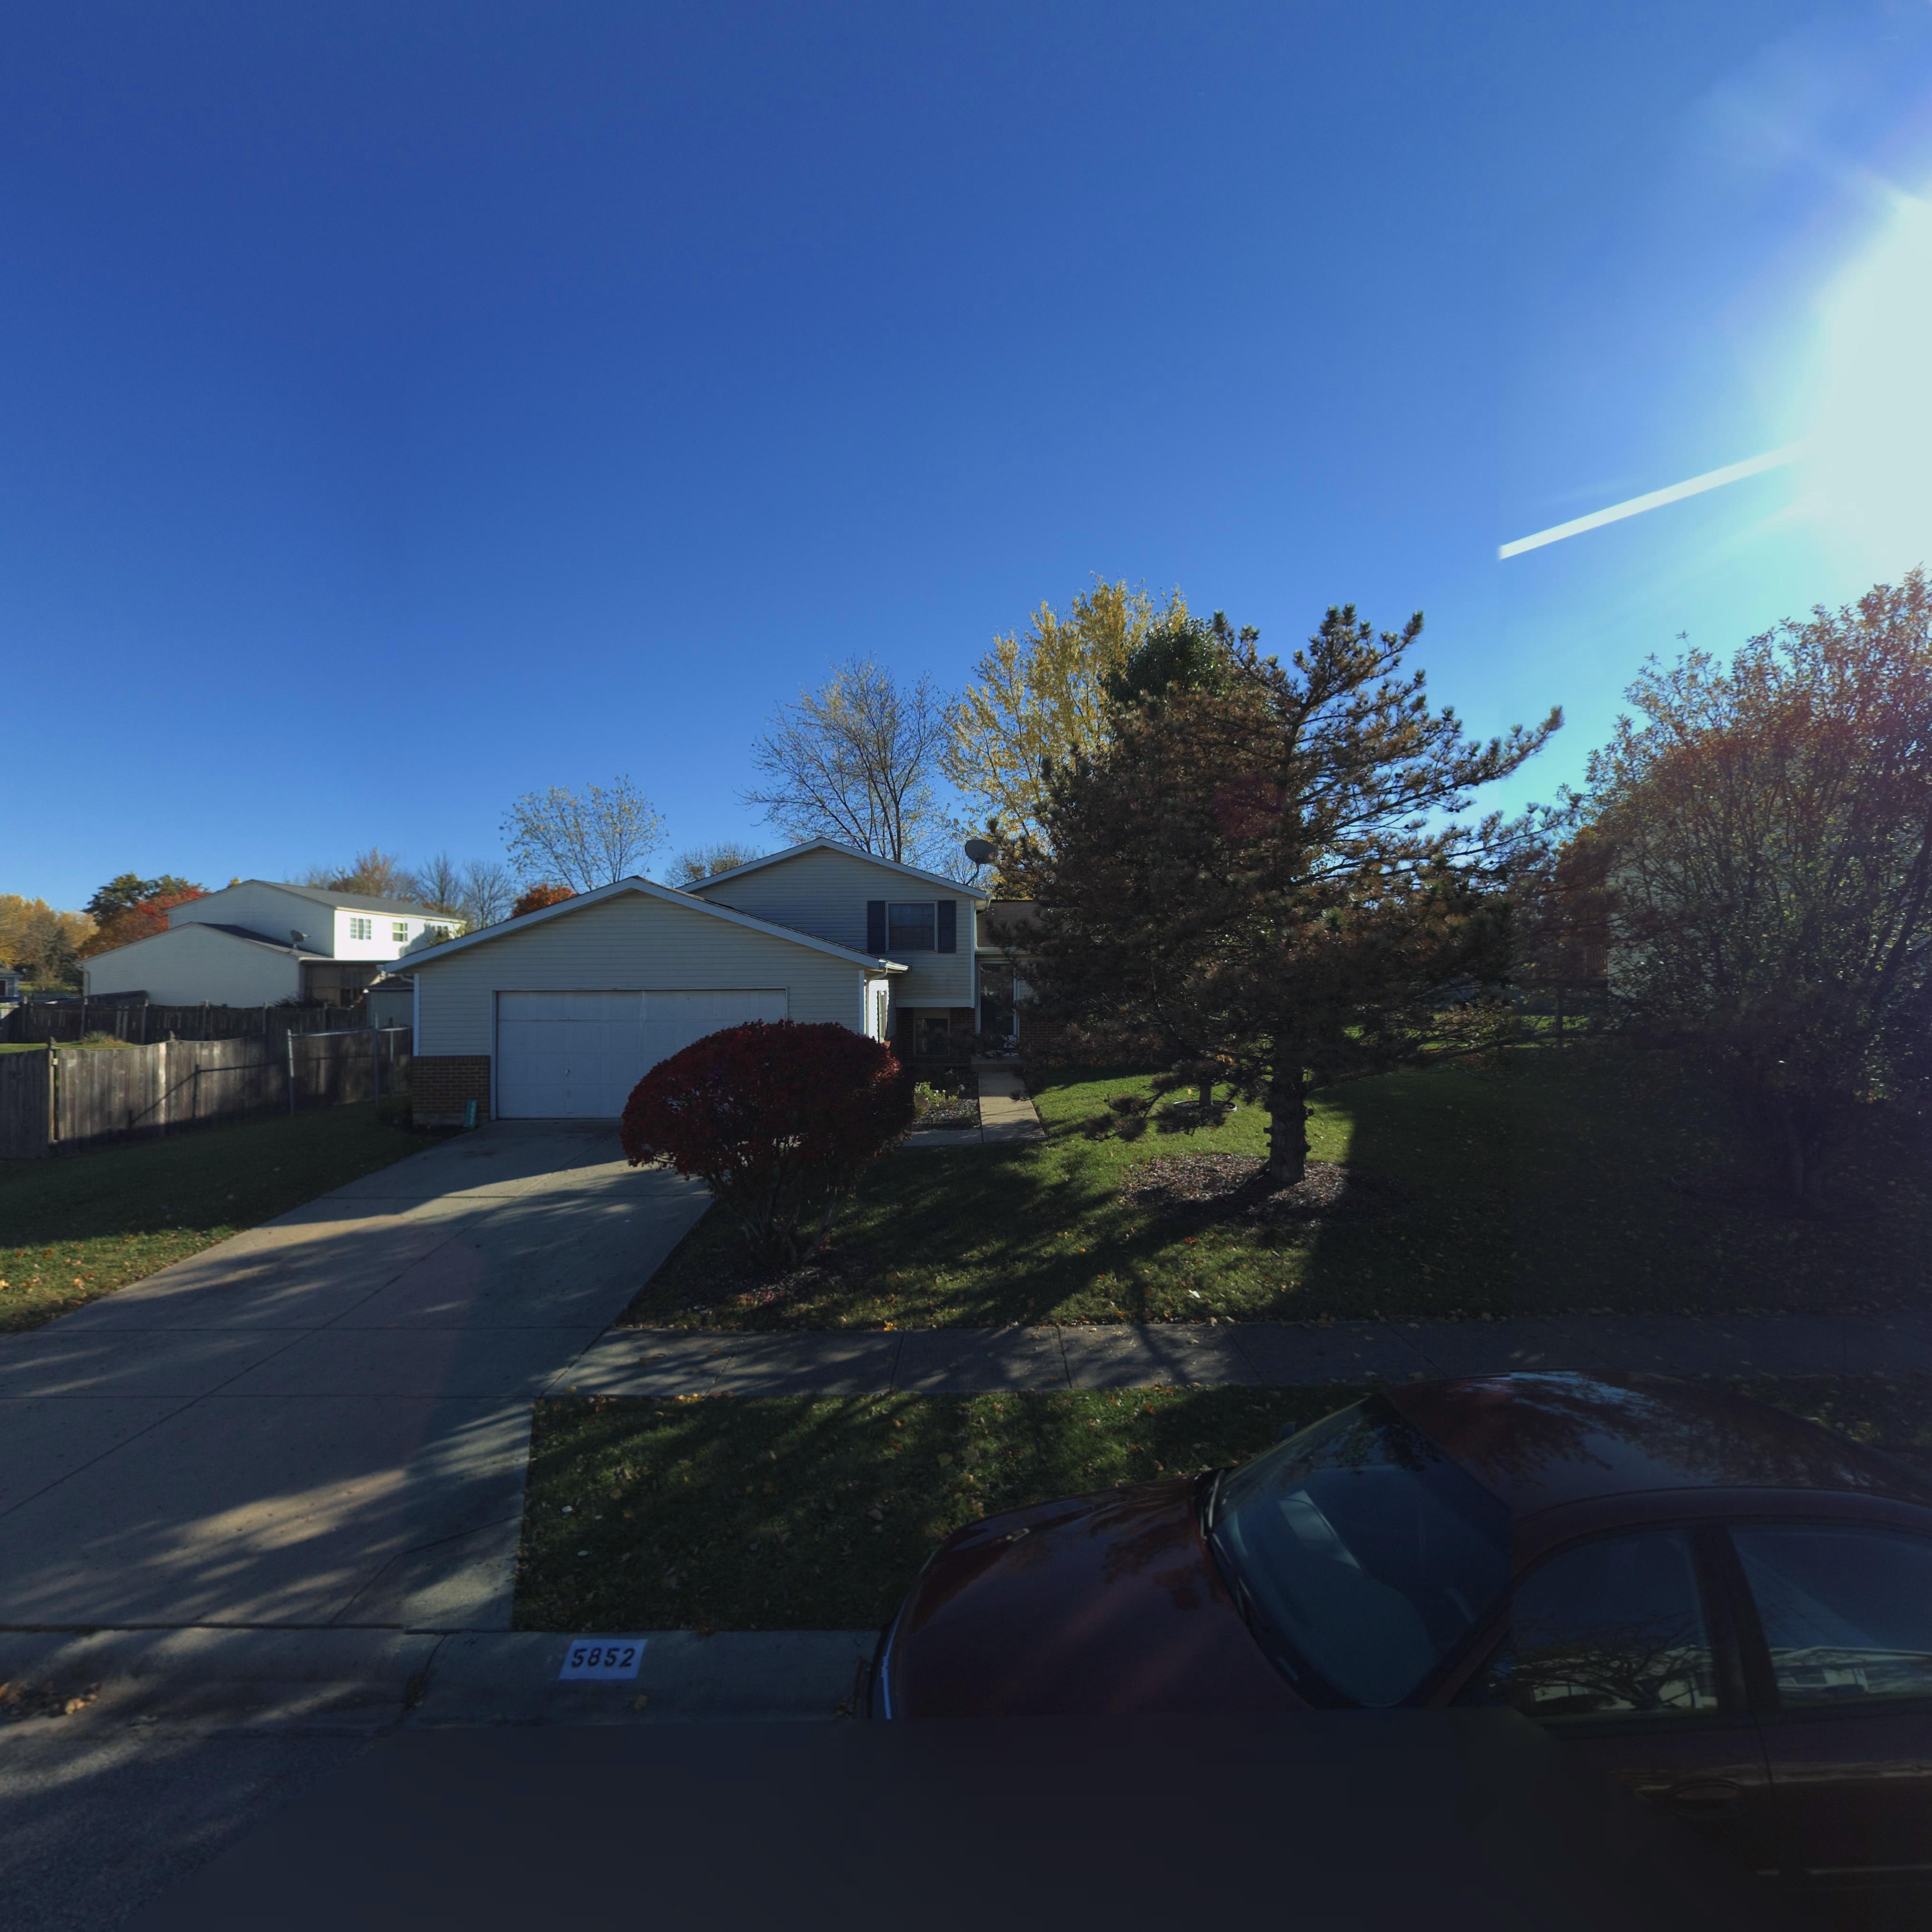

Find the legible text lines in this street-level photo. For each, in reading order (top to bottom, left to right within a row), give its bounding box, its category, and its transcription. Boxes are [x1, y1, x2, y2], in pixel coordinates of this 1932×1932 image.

[570, 1645, 638, 1670] StreetNumber: 5852